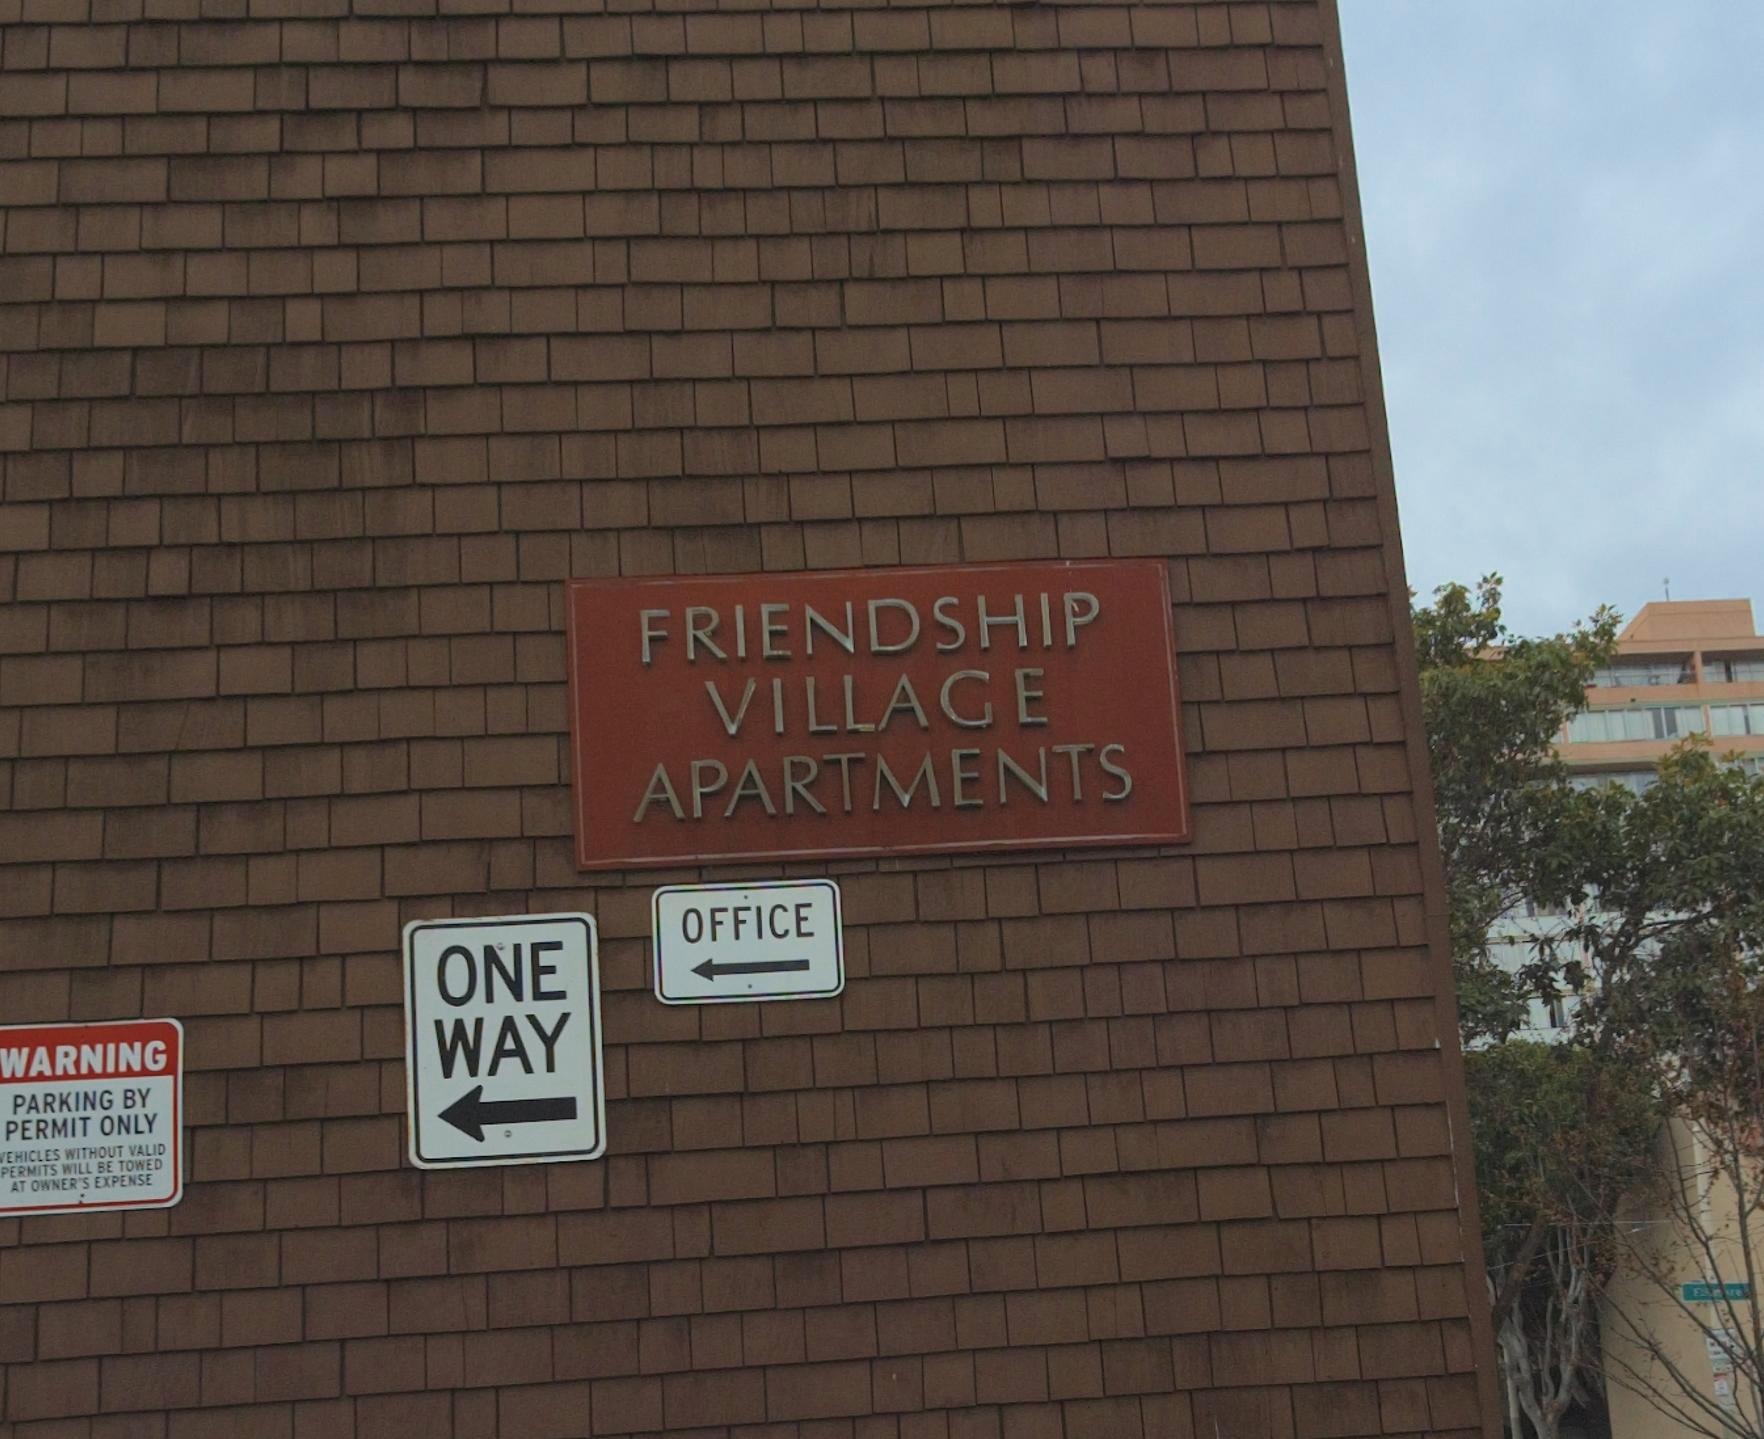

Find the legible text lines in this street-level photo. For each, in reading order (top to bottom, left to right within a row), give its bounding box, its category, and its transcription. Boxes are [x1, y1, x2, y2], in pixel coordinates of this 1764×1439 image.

[637, 589, 1104, 666] BusinessName: FRIENDSHIP
[699, 665, 1051, 736] BusinessName: VILLAGE
[628, 740, 1136, 825] BusinessName: APARTMENTS
[680, 900, 816, 945] None: OFFICE
[433, 939, 569, 1008] None: ONE
[0, 1039, 170, 1079] None: WARNING
[432, 1010, 574, 1081] None: WAY
[11, 1085, 152, 1116] None: PARKING BY
[5, 1111, 159, 1143] None: PERMIT ONLY
[0, 1158, 164, 1180] None: PERMITS WILL BE TOWED
[10, 1172, 154, 1194] None: AT OWNER'S EXPENSE
[5, 1142, 167, 1165] None: VEHICLES WITHOUT VALID